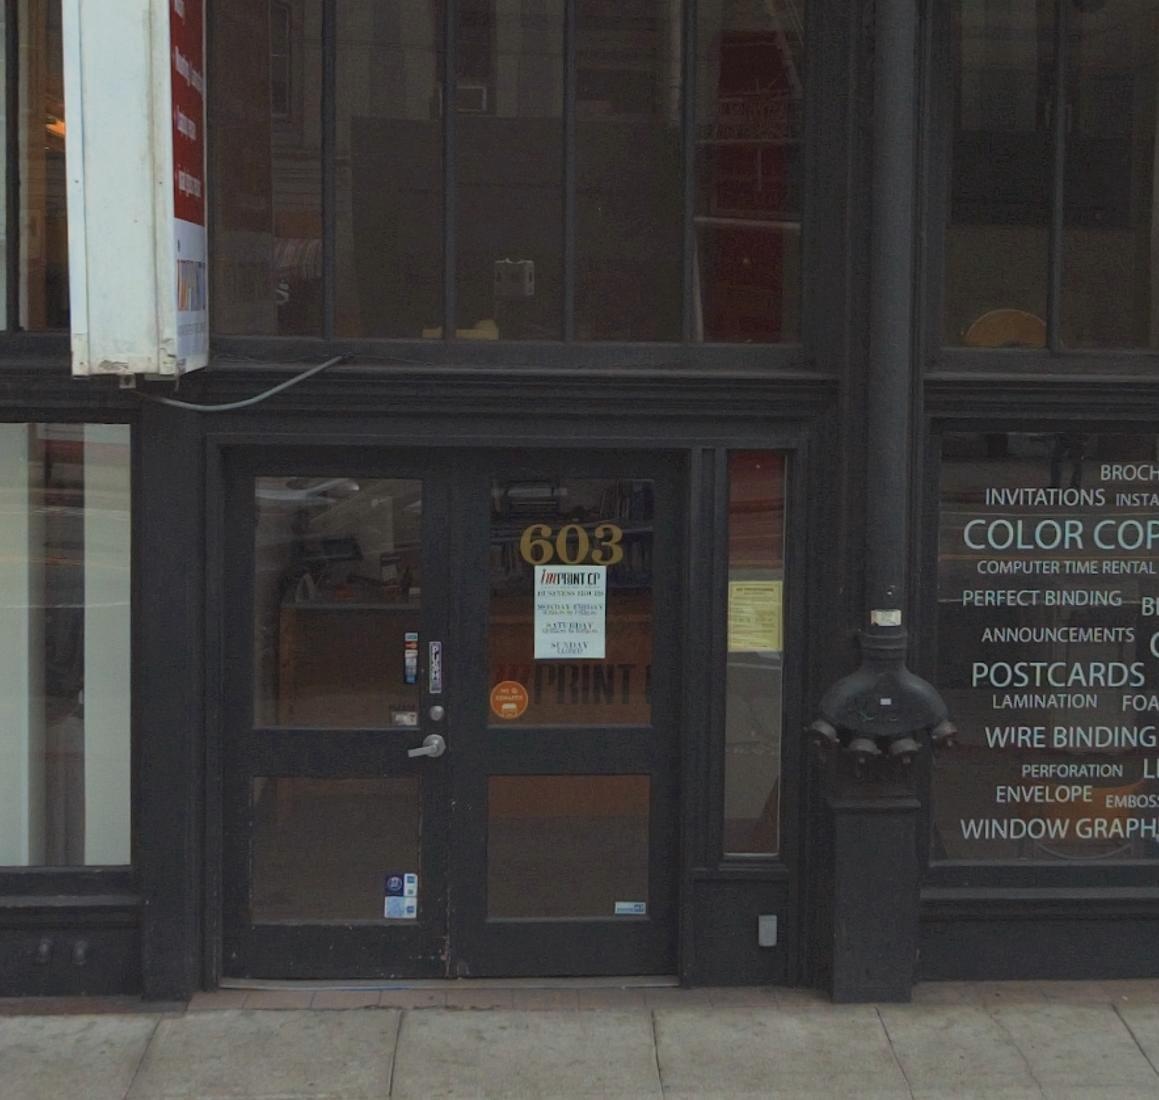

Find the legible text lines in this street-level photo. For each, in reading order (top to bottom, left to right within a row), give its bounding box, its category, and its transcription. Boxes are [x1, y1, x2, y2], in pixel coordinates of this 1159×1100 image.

[1098, 462, 1151, 483] None: BROC
[983, 485, 1107, 509] None: INVITATIONS
[1114, 491, 1152, 509] None: INST
[518, 521, 625, 567] StreetNumber: 603
[961, 516, 1146, 553] None: COLOR CO
[974, 557, 1159, 577] None: COMPUTER TIME RENTAL
[961, 587, 1124, 609] None: PERFECT BINDING
[1140, 594, 1157, 618] None: B
[979, 624, 1137, 645] None: ANNOUNCEMENTS
[429, 643, 441, 682] None: PUSH
[531, 661, 638, 708] None: PRINT
[968, 657, 1149, 692] None: POSTCARDS
[990, 689, 1100, 712] None: LAMINATION
[1120, 691, 1150, 715] None: FO
[981, 722, 1159, 752] None: WIRE BINDING
[1019, 761, 1126, 781] None: PERFORATION
[1141, 755, 1158, 781] None: L
[994, 782, 1096, 806] None: ENVELOPE
[1103, 791, 1159, 811] None: EMBOS
[955, 814, 1159, 843] None: WINDOW GRAPH